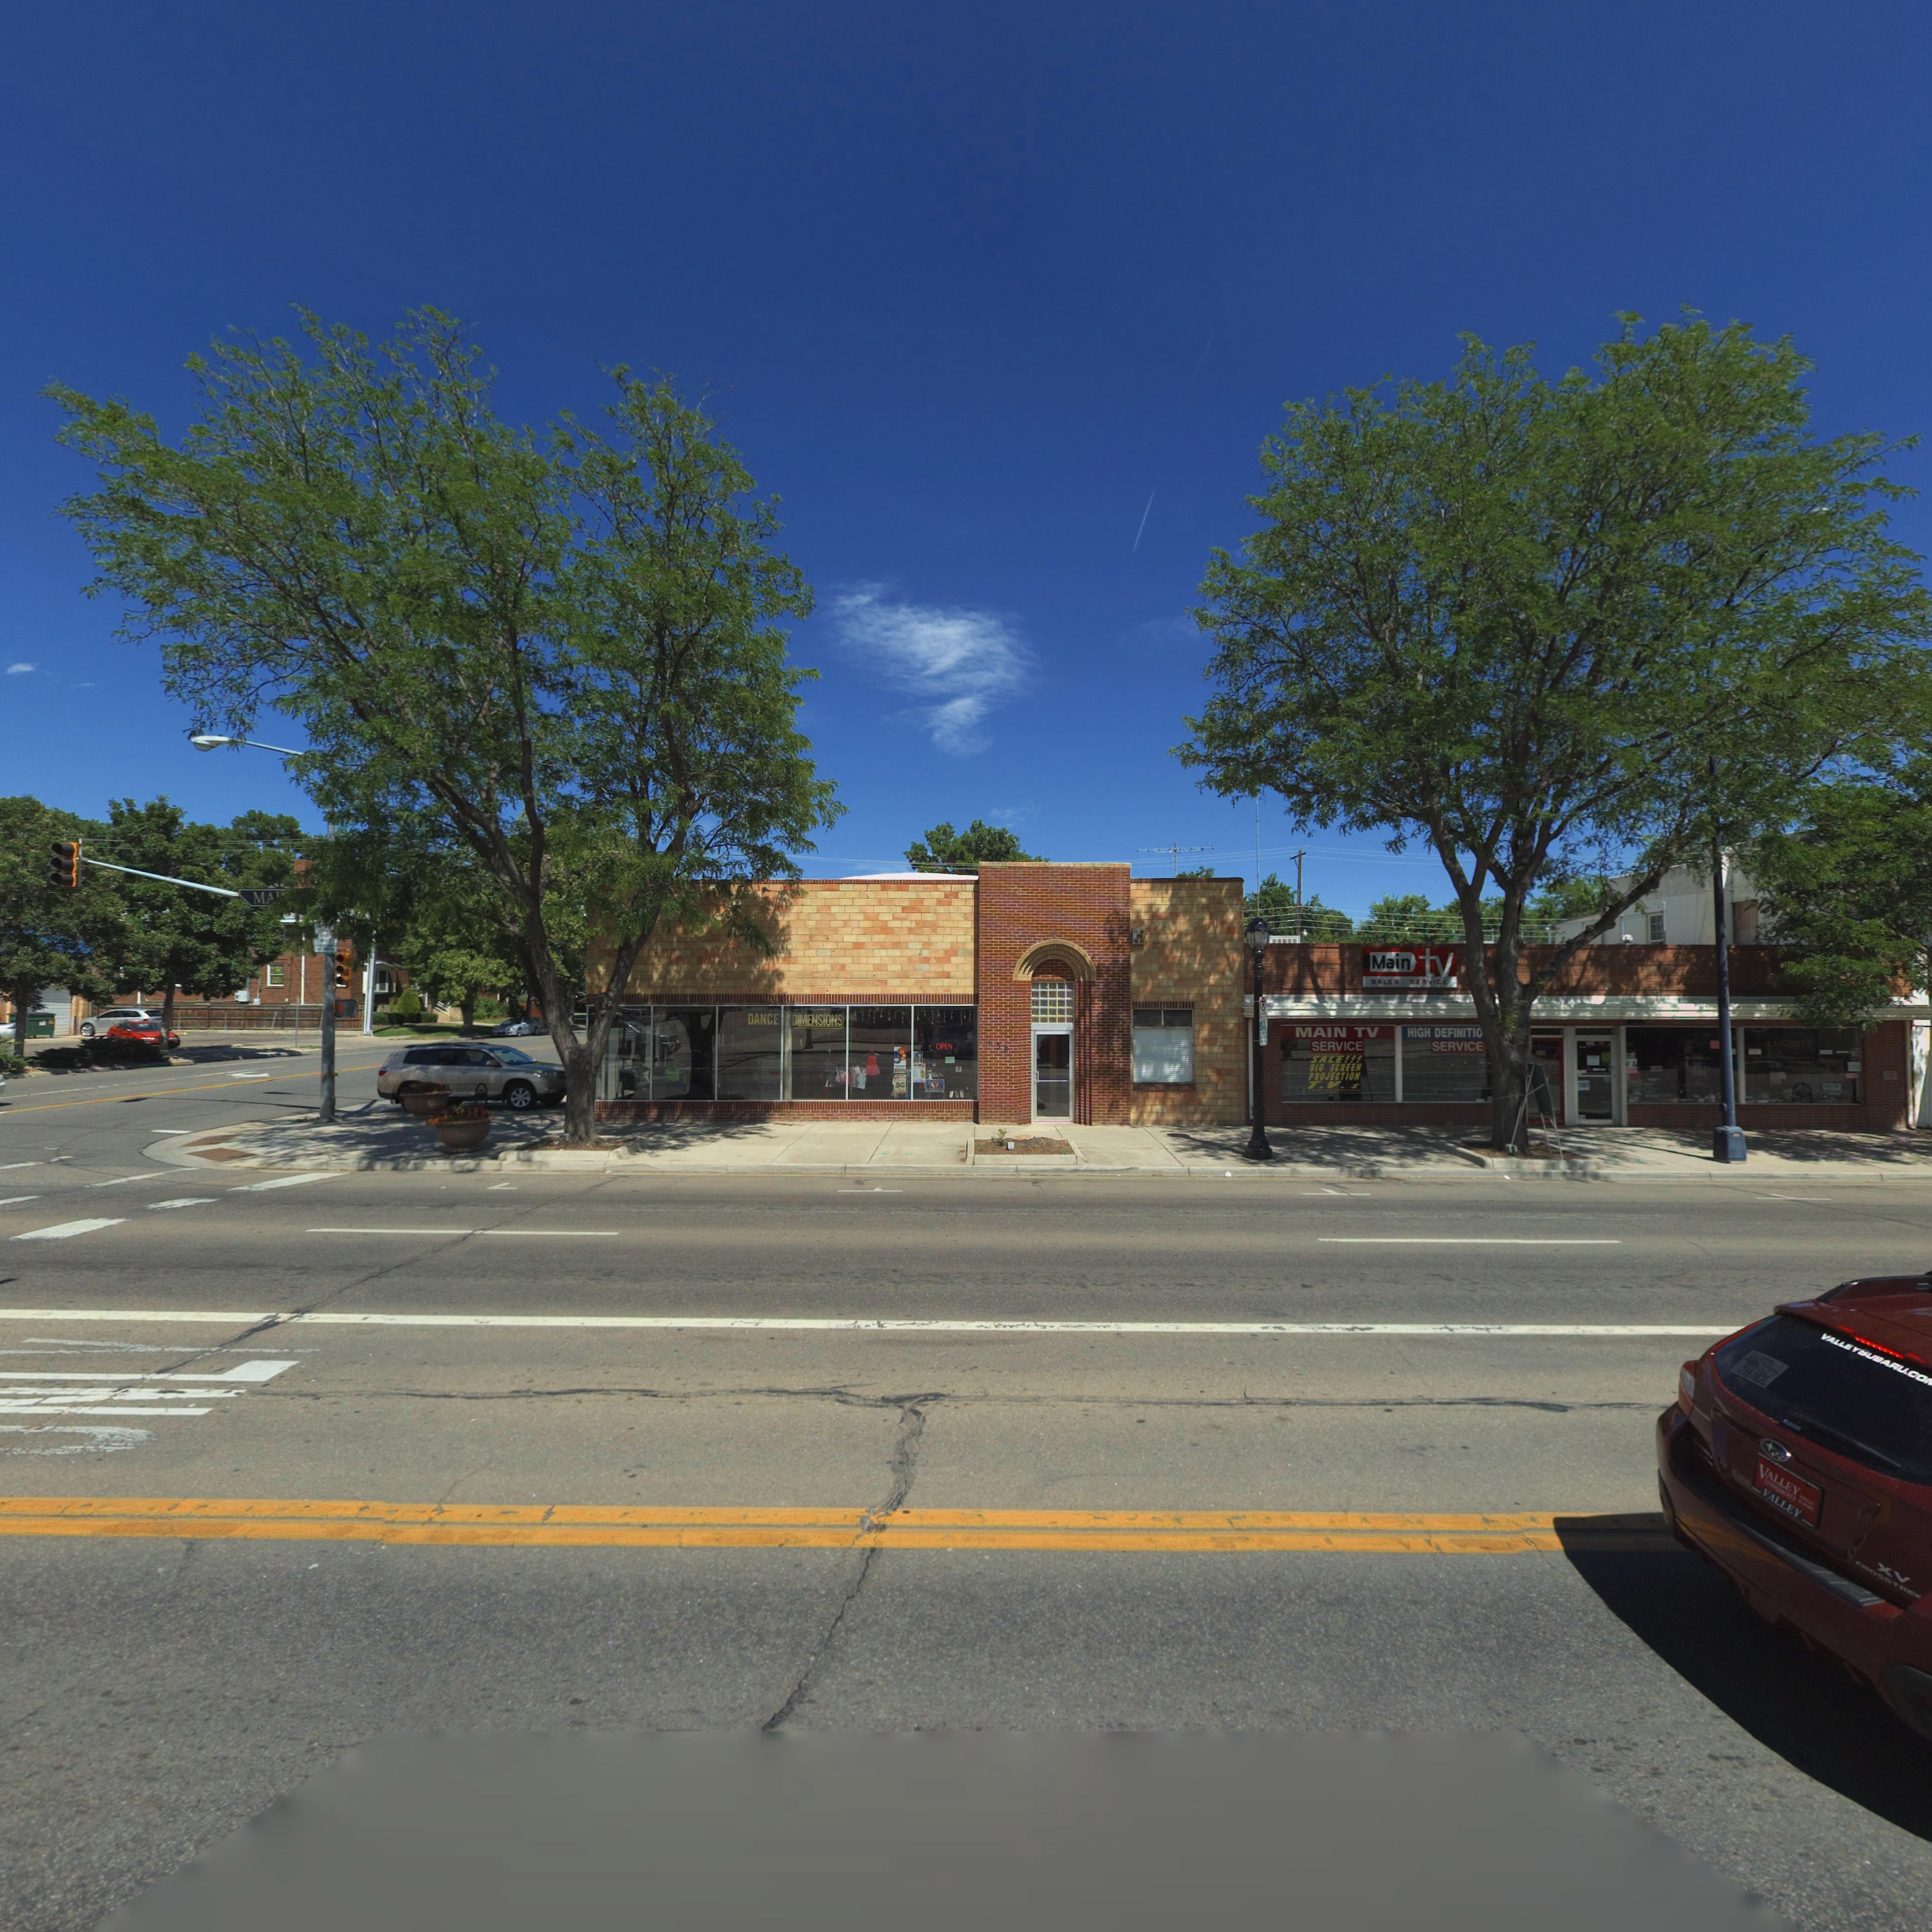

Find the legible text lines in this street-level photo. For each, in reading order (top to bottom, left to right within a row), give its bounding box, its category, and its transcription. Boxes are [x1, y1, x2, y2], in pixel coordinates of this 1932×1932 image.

[252, 890, 274, 904] StreetName: M*
[1372, 953, 1410, 971] BusinessName: Main
[1418, 947, 1454, 978] BusinessName: tv
[748, 1013, 778, 1025] BusinessName: DANCE
[792, 1014, 842, 1026] BusinessName: DIMENSIONS
[1295, 1026, 1380, 1037] BusinessName: MAIN TV
[988, 1039, 1008, 1052] StreetNumber: 638
[1312, 1041, 1363, 1051] BusinessName: SERVICE
[1585, 1041, 1594, 1045] StreetNumber: **4
[1767, 1040, 1813, 1047] BusinessName: LUDDITE